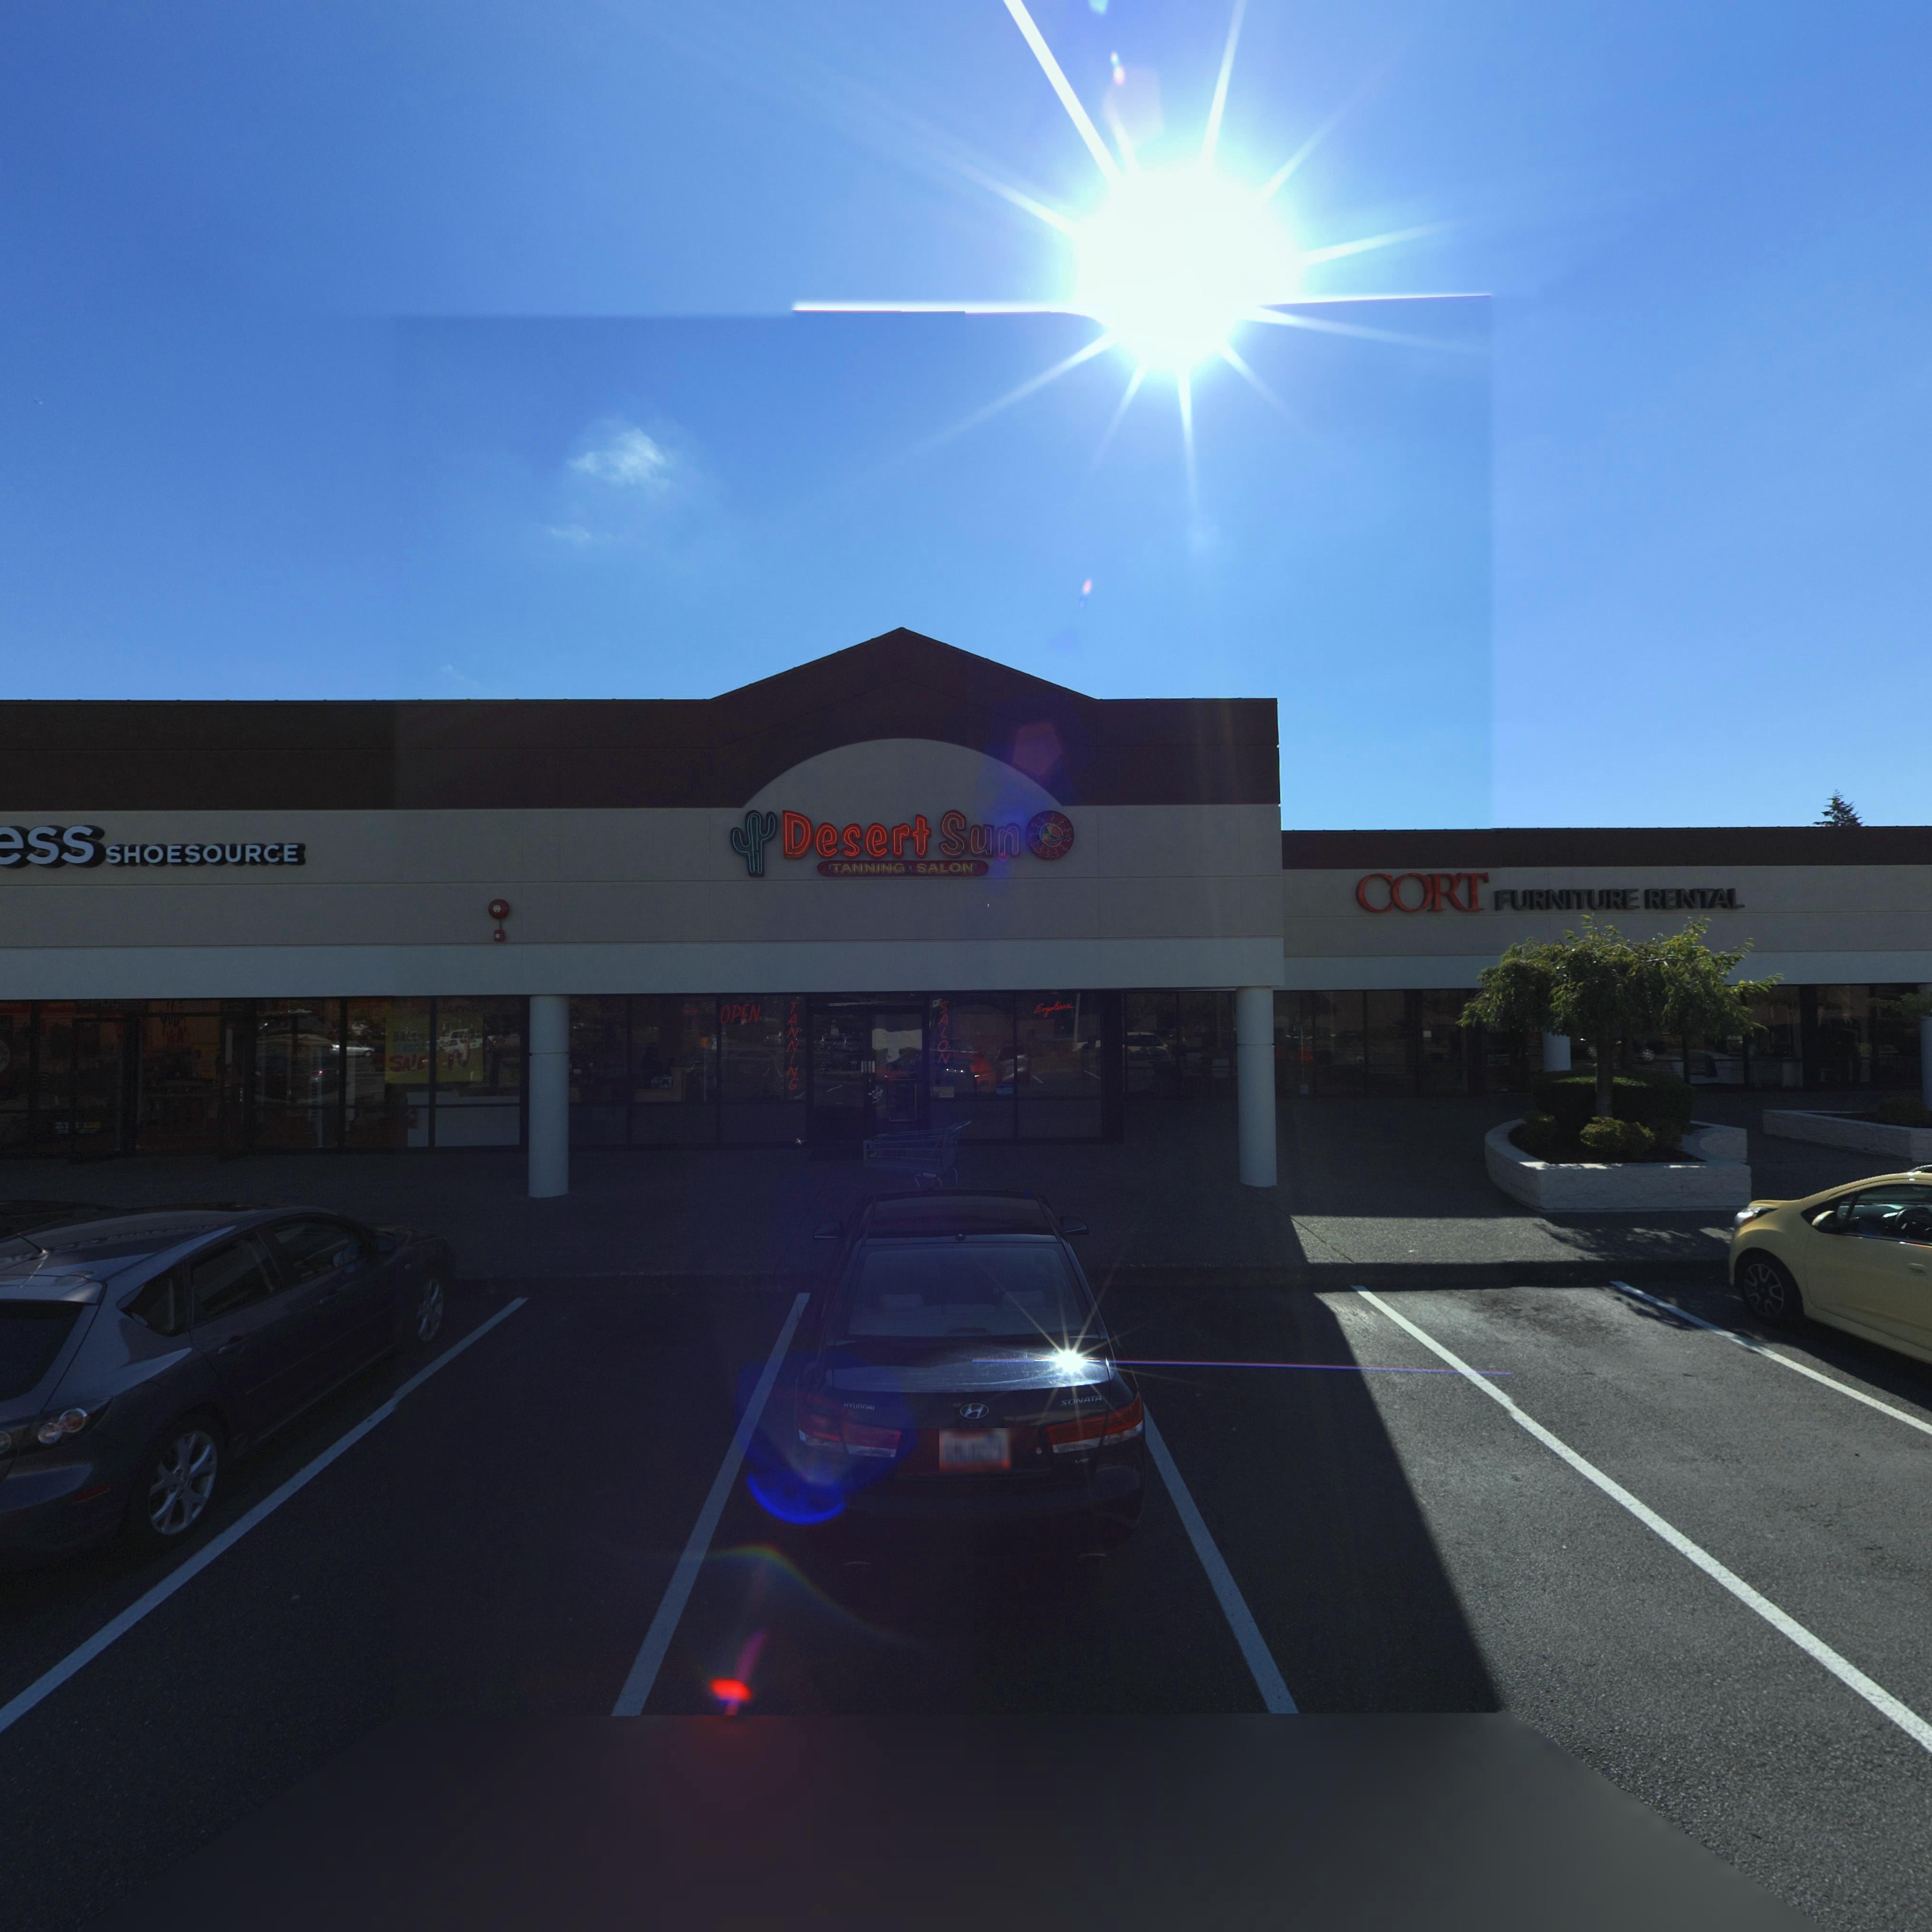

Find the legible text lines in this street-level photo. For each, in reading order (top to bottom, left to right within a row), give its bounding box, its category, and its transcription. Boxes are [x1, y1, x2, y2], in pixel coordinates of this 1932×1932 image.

[0, 827, 94, 864] BusinessName: *SS
[106, 844, 297, 862] BusinessName: SHOESOURCE
[781, 809, 1020, 856] BusinessName: Desert Sun
[832, 862, 974, 872] BusinessName: TANNING SALON
[1357, 871, 1487, 912] BusinessName: CORT
[1496, 888, 1745, 908] BusinessName: FURNITURE RENTAL